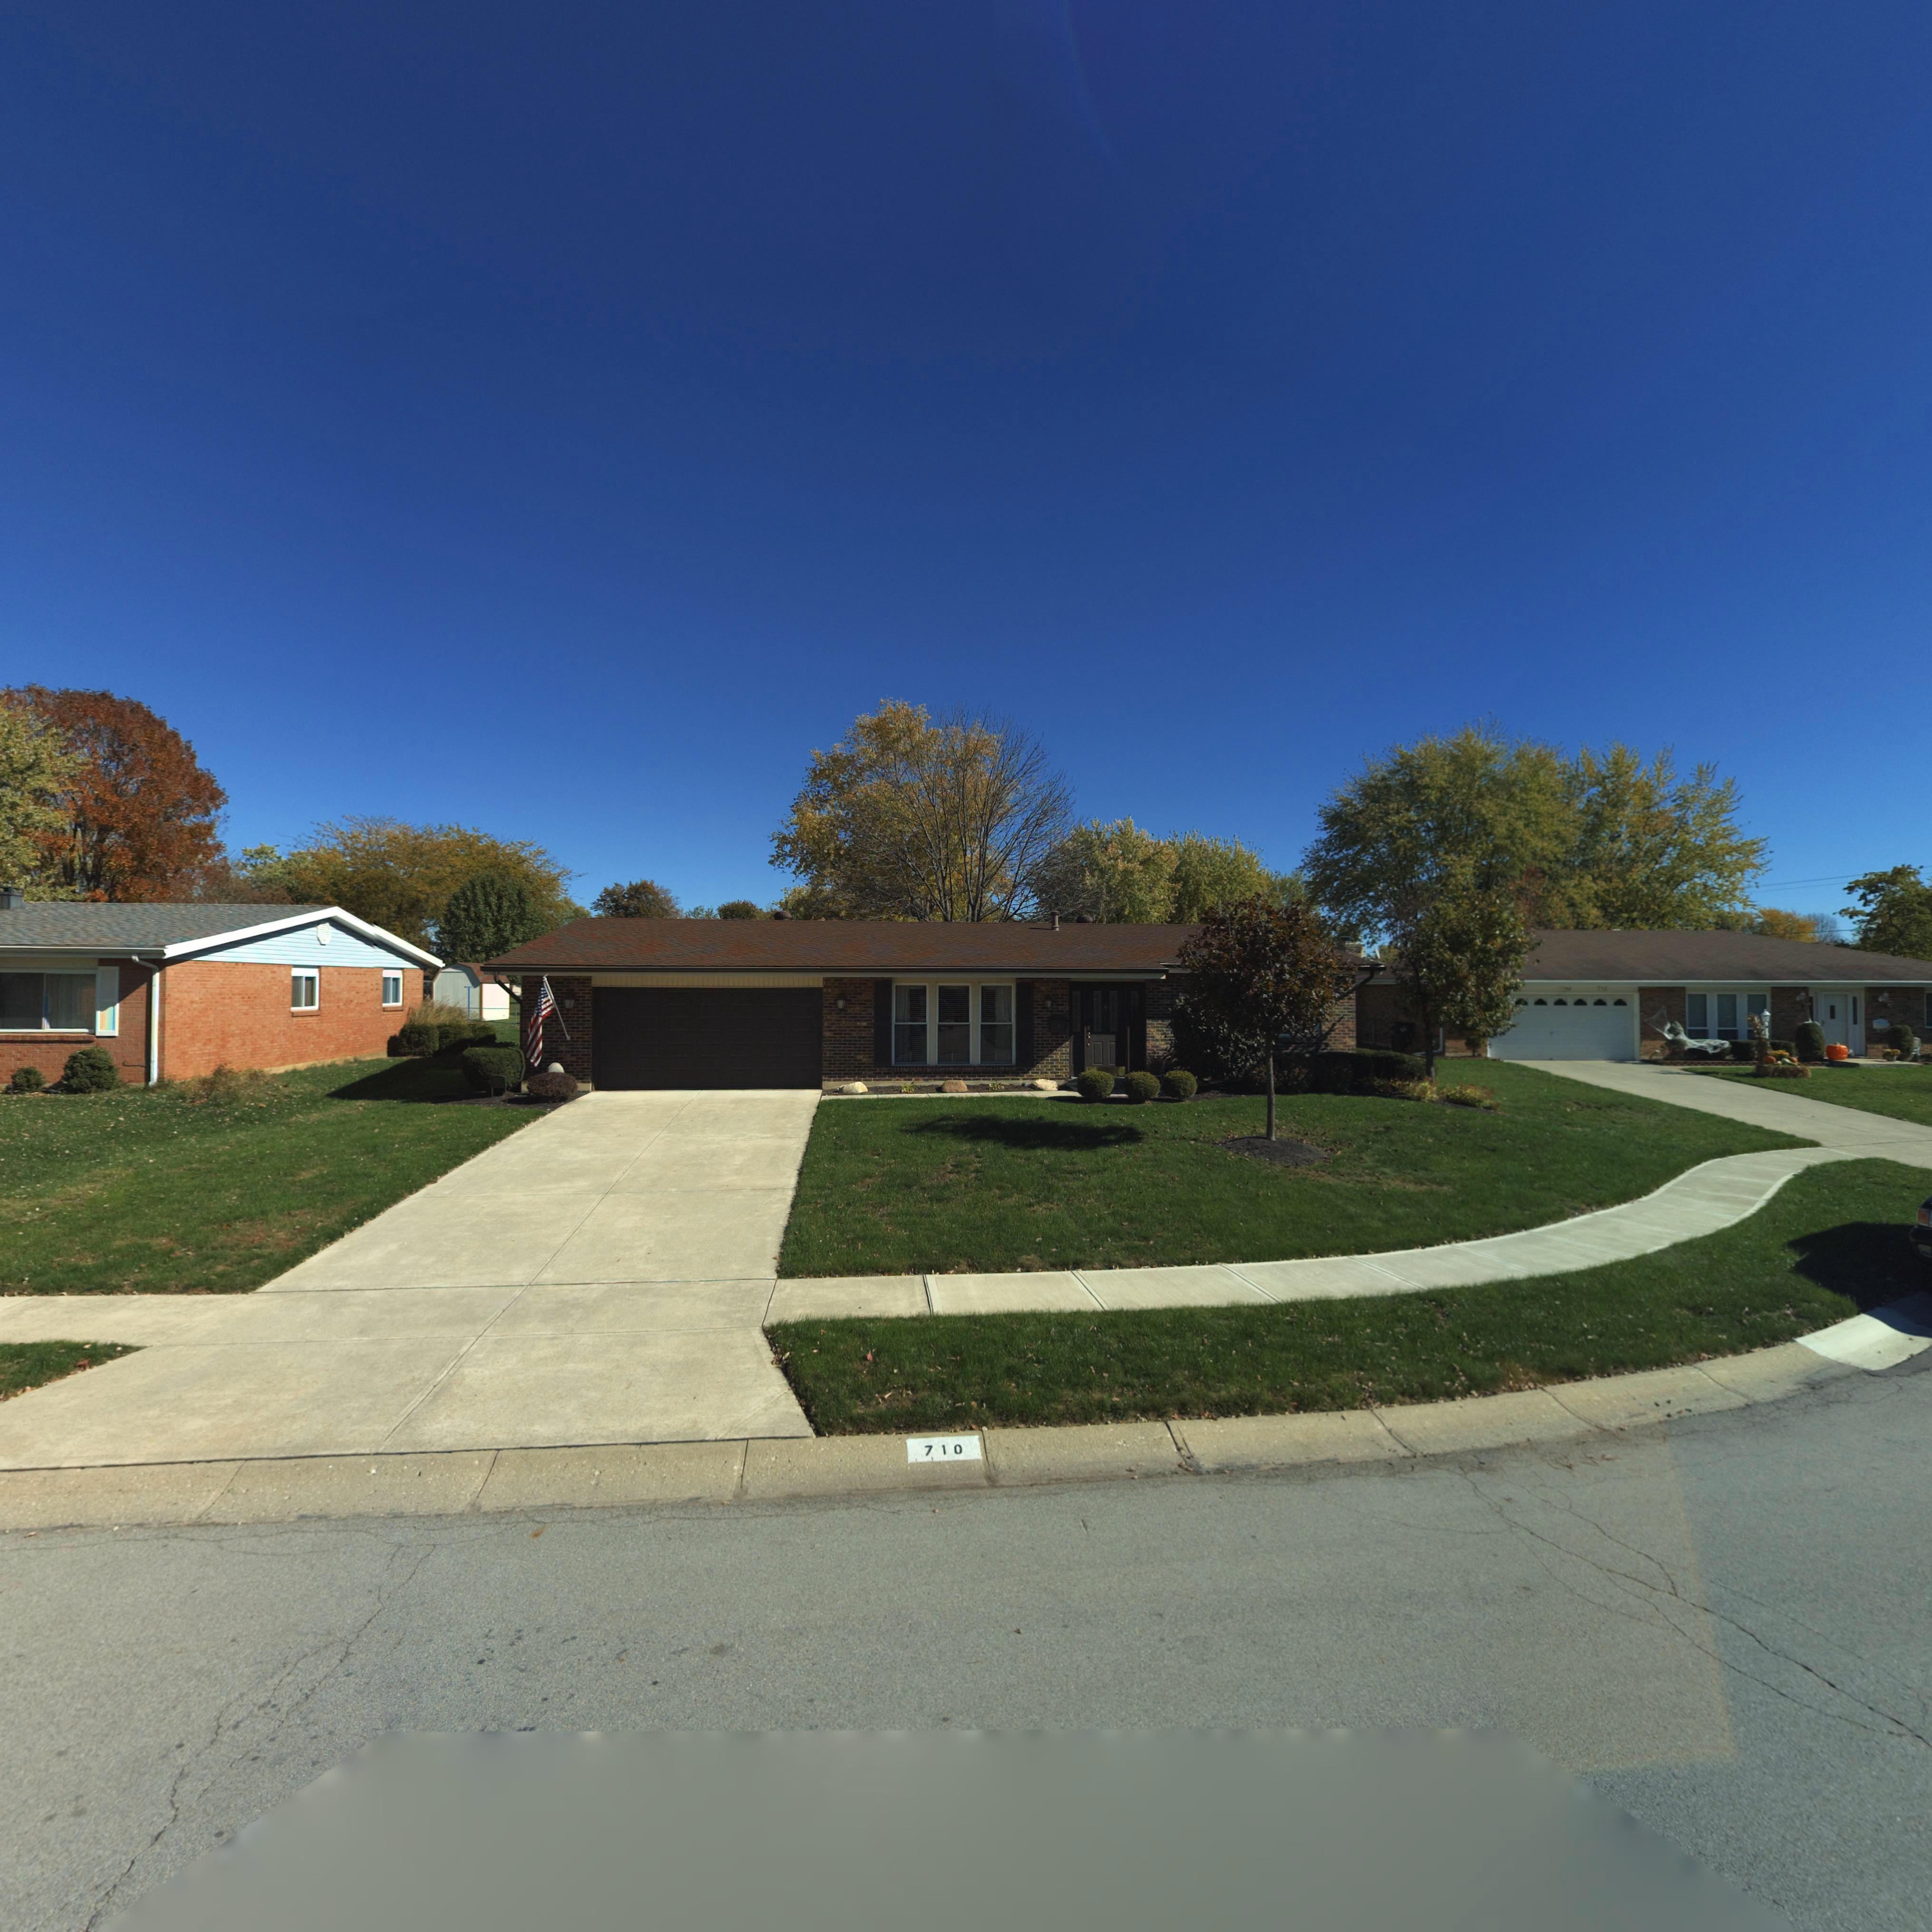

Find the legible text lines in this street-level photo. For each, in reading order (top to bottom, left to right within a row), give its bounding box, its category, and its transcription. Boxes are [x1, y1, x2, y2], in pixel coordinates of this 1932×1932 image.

[1596, 985, 1607, 992] StreetNumber: 712
[924, 1443, 963, 1456] StreetNumber: 710